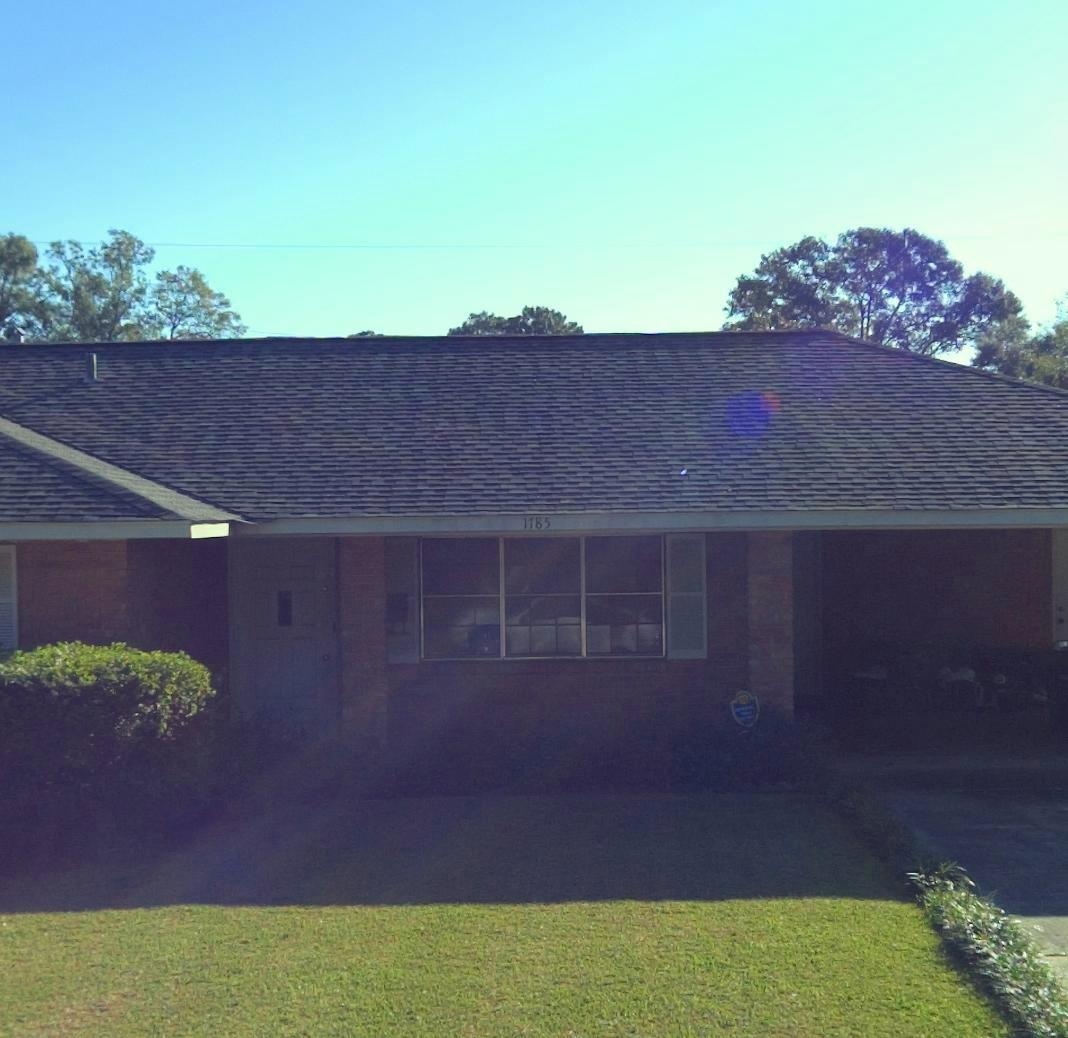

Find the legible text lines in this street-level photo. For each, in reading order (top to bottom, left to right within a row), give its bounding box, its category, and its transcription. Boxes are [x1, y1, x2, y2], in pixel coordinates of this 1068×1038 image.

[522, 515, 553, 531] StreetNumber: 1785